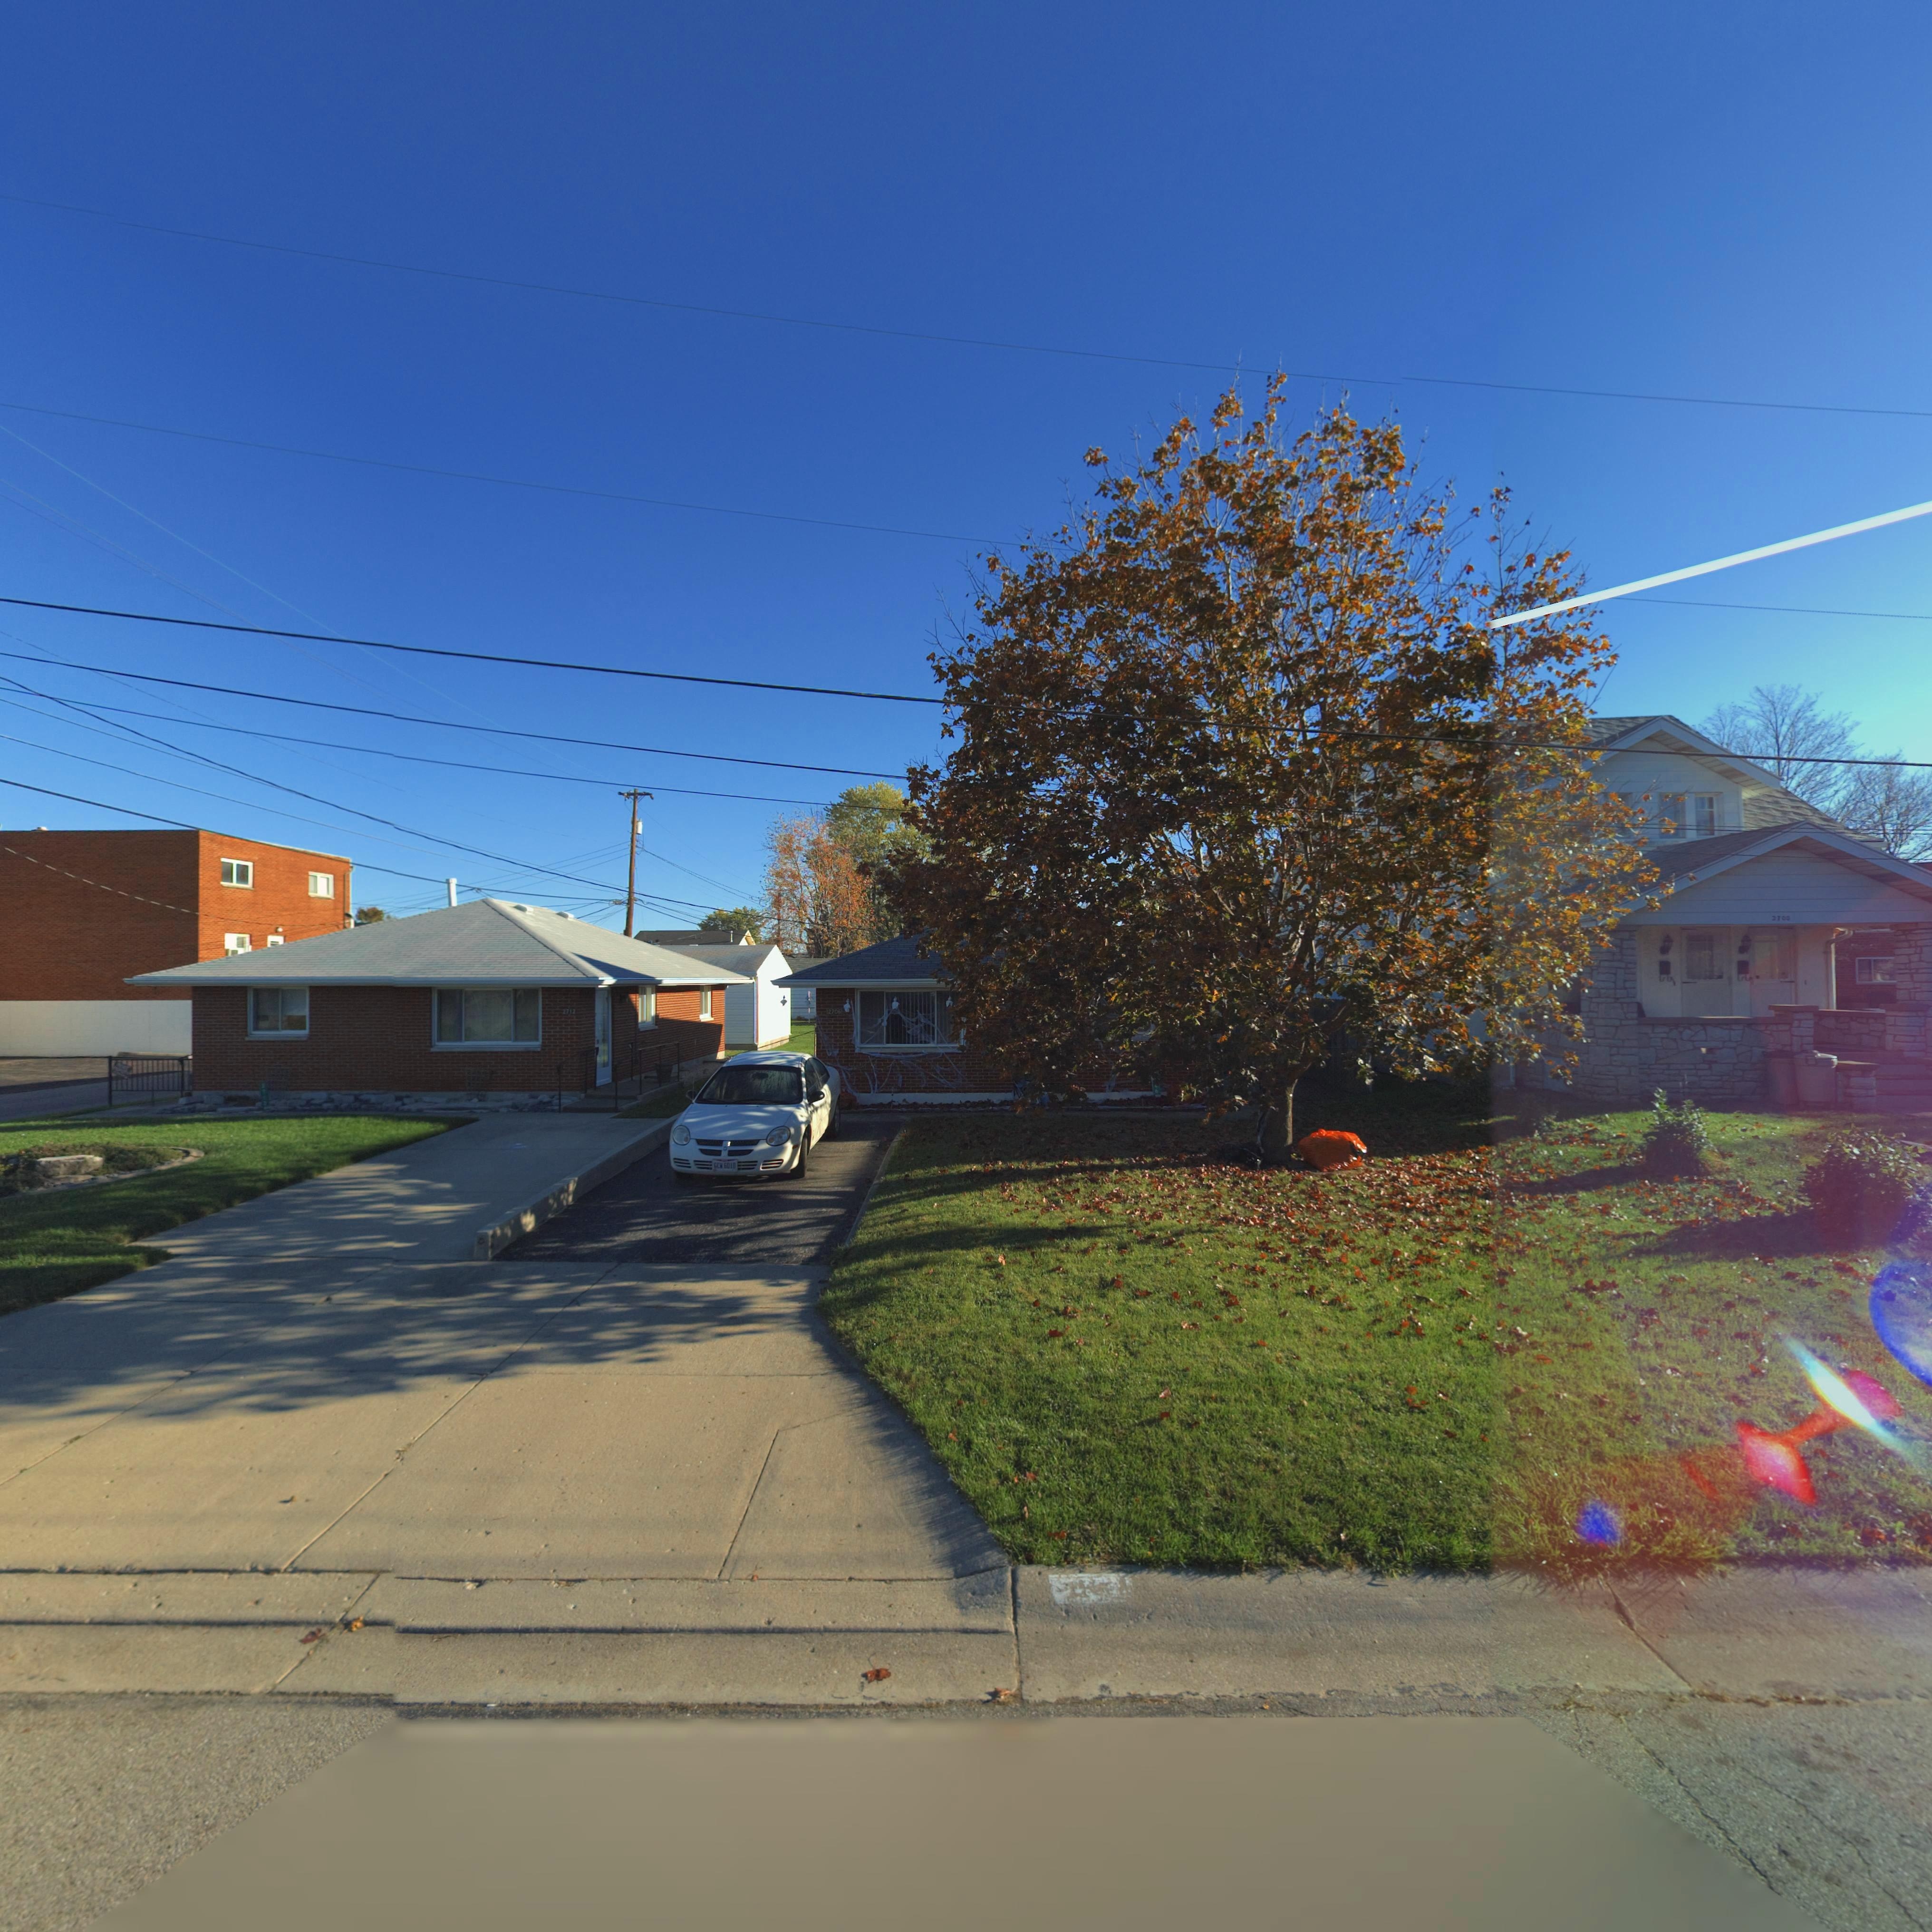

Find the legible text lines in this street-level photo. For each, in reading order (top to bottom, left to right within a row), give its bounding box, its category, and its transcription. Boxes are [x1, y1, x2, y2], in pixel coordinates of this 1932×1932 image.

[1771, 915, 1791, 922] StreetNumber: 27**
[561, 1008, 576, 1015] StreetNumber: 2712
[828, 1009, 842, 1015] StreetNumber: 2706